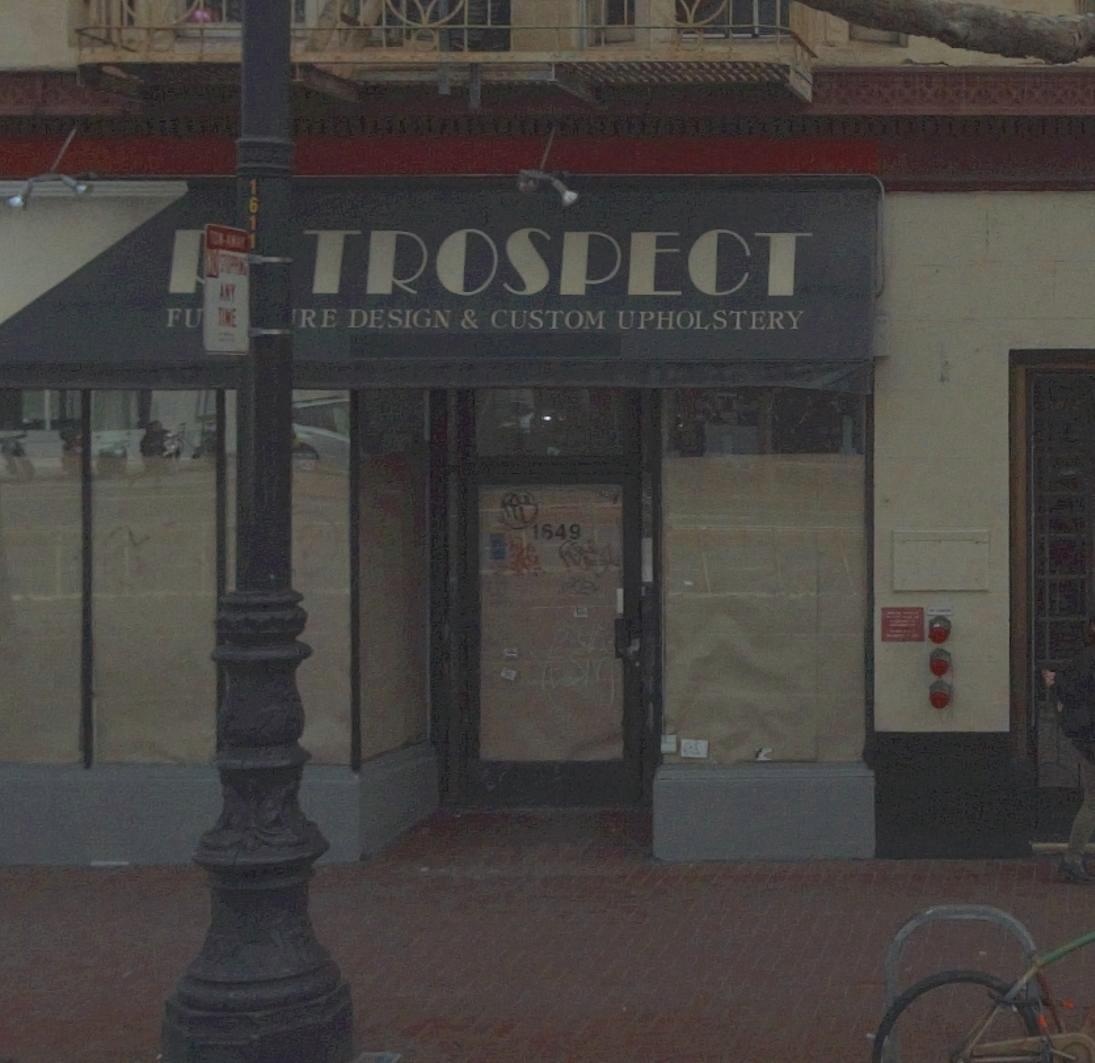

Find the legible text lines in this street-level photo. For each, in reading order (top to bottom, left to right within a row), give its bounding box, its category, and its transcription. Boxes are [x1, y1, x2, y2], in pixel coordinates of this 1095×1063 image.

[247, 178, 259, 251] StreetNumber: 1611
[208, 229, 247, 251] None: TOW-AWAY
[202, 249, 220, 279] None: NO
[303, 228, 814, 298] BusinessName: TRPSPECT
[218, 283, 238, 303] None: ANY
[166, 308, 203, 328] BusinessName: FU
[217, 307, 237, 329] None: TIME
[298, 307, 805, 332] BusinessName: RE DESIGN & CUSTOM UPHOLSTERY
[531, 522, 582, 541] StreetNumber: 1649